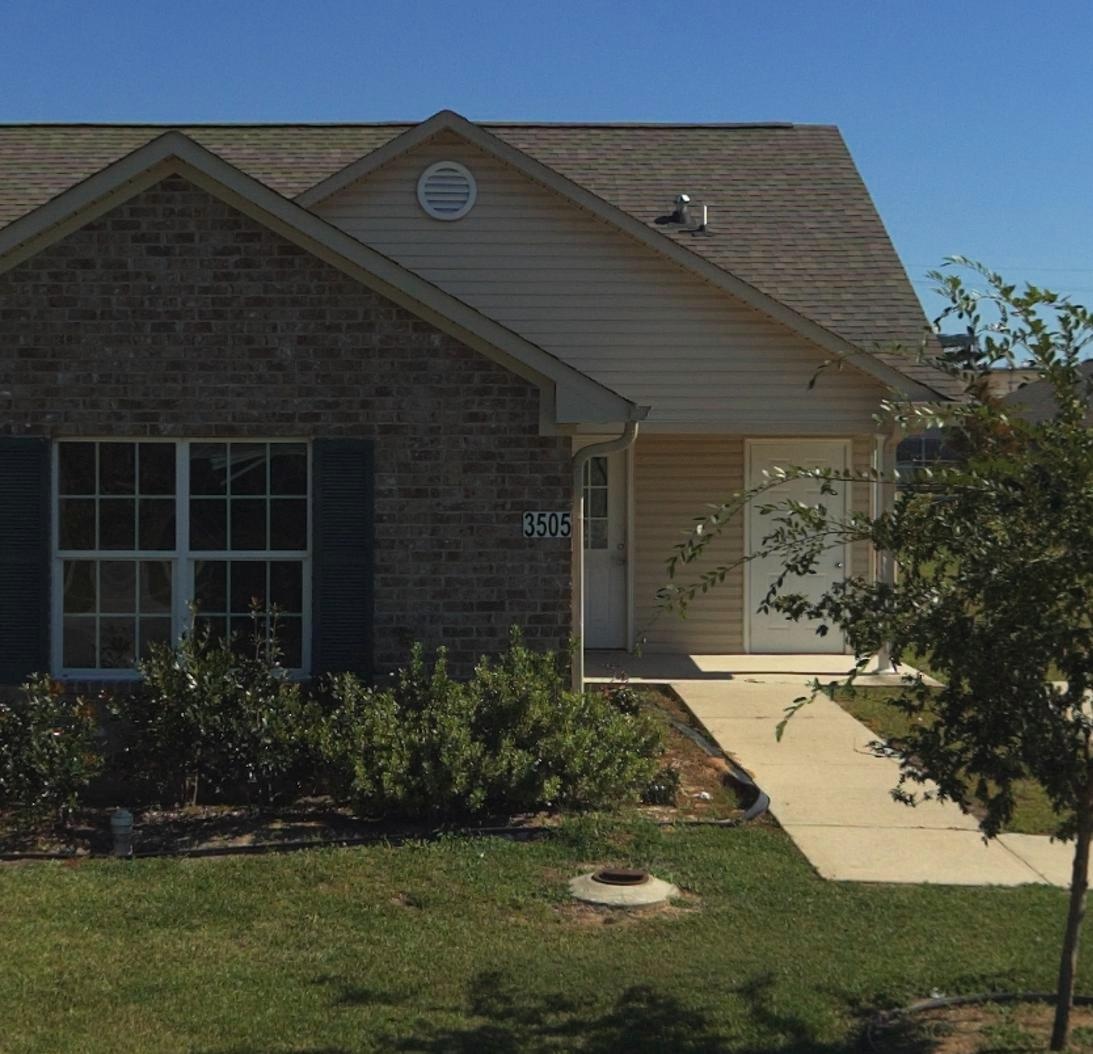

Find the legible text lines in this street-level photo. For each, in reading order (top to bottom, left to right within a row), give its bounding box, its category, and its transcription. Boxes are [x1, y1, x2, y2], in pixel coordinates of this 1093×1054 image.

[524, 511, 572, 537] StreetNumber: 3505